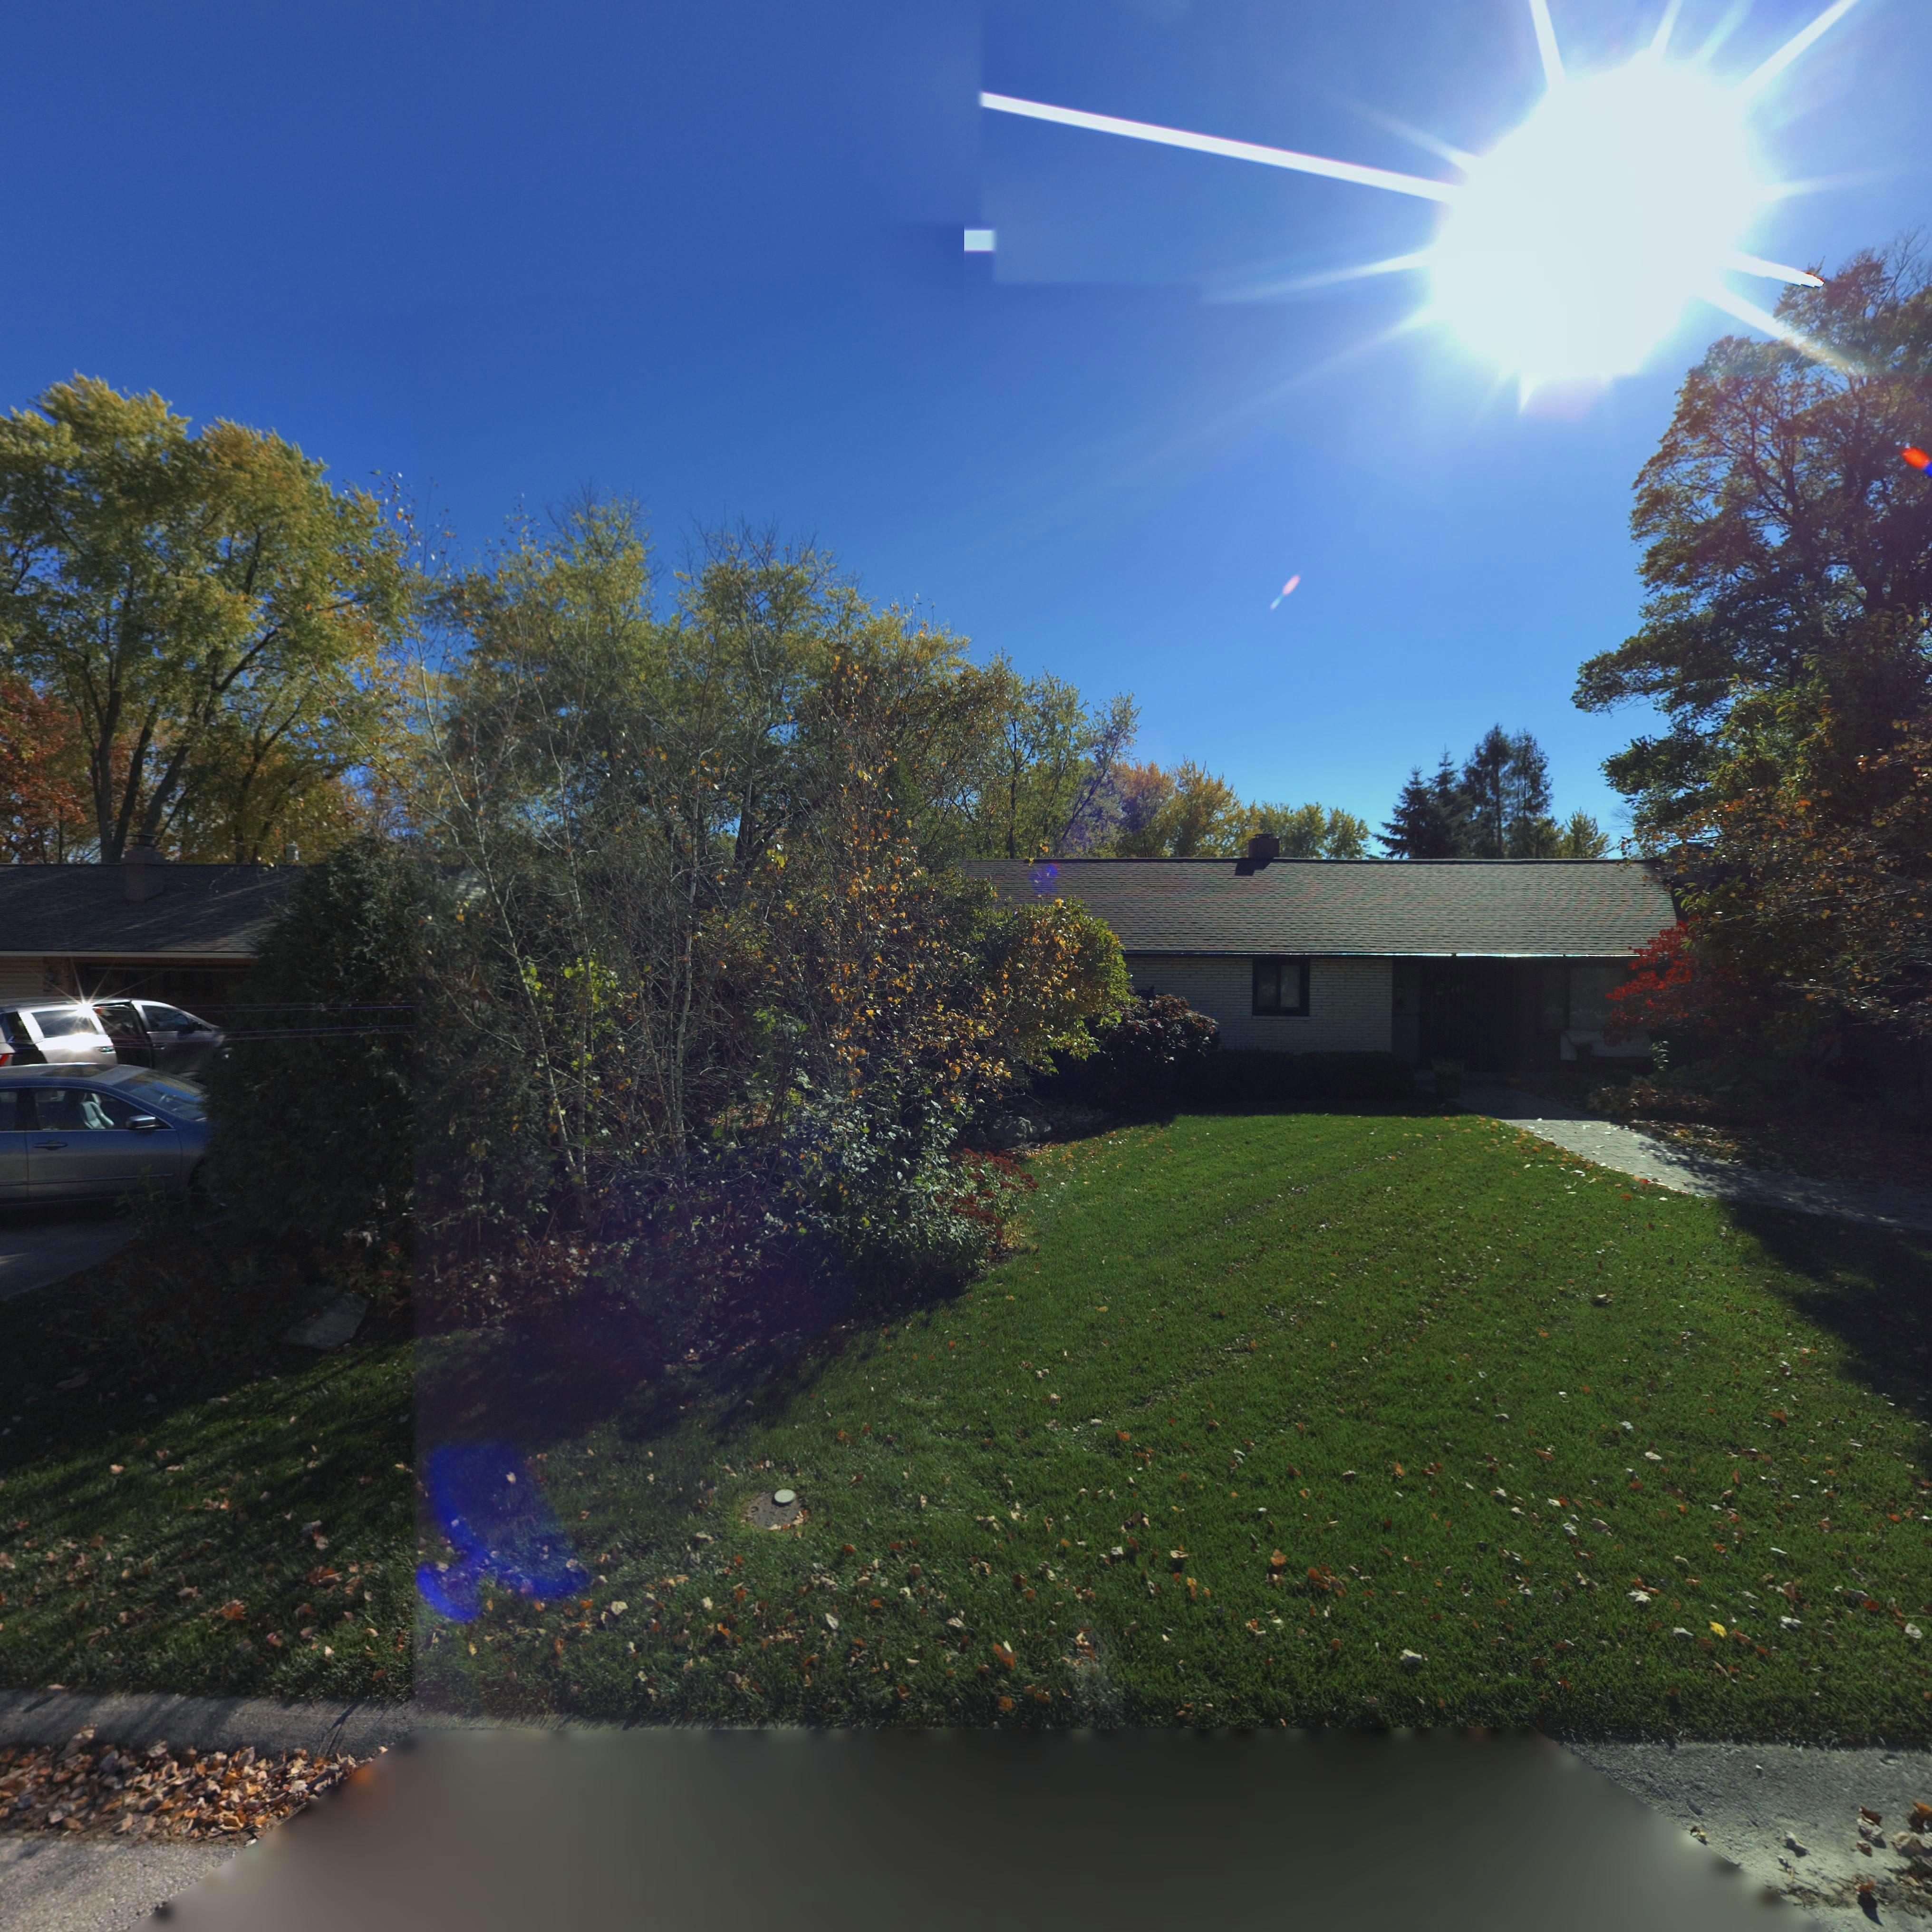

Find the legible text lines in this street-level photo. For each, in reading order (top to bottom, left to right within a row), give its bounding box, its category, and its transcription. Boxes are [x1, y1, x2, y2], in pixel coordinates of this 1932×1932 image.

[1449, 982, 1467, 995] StreetNumber: 486